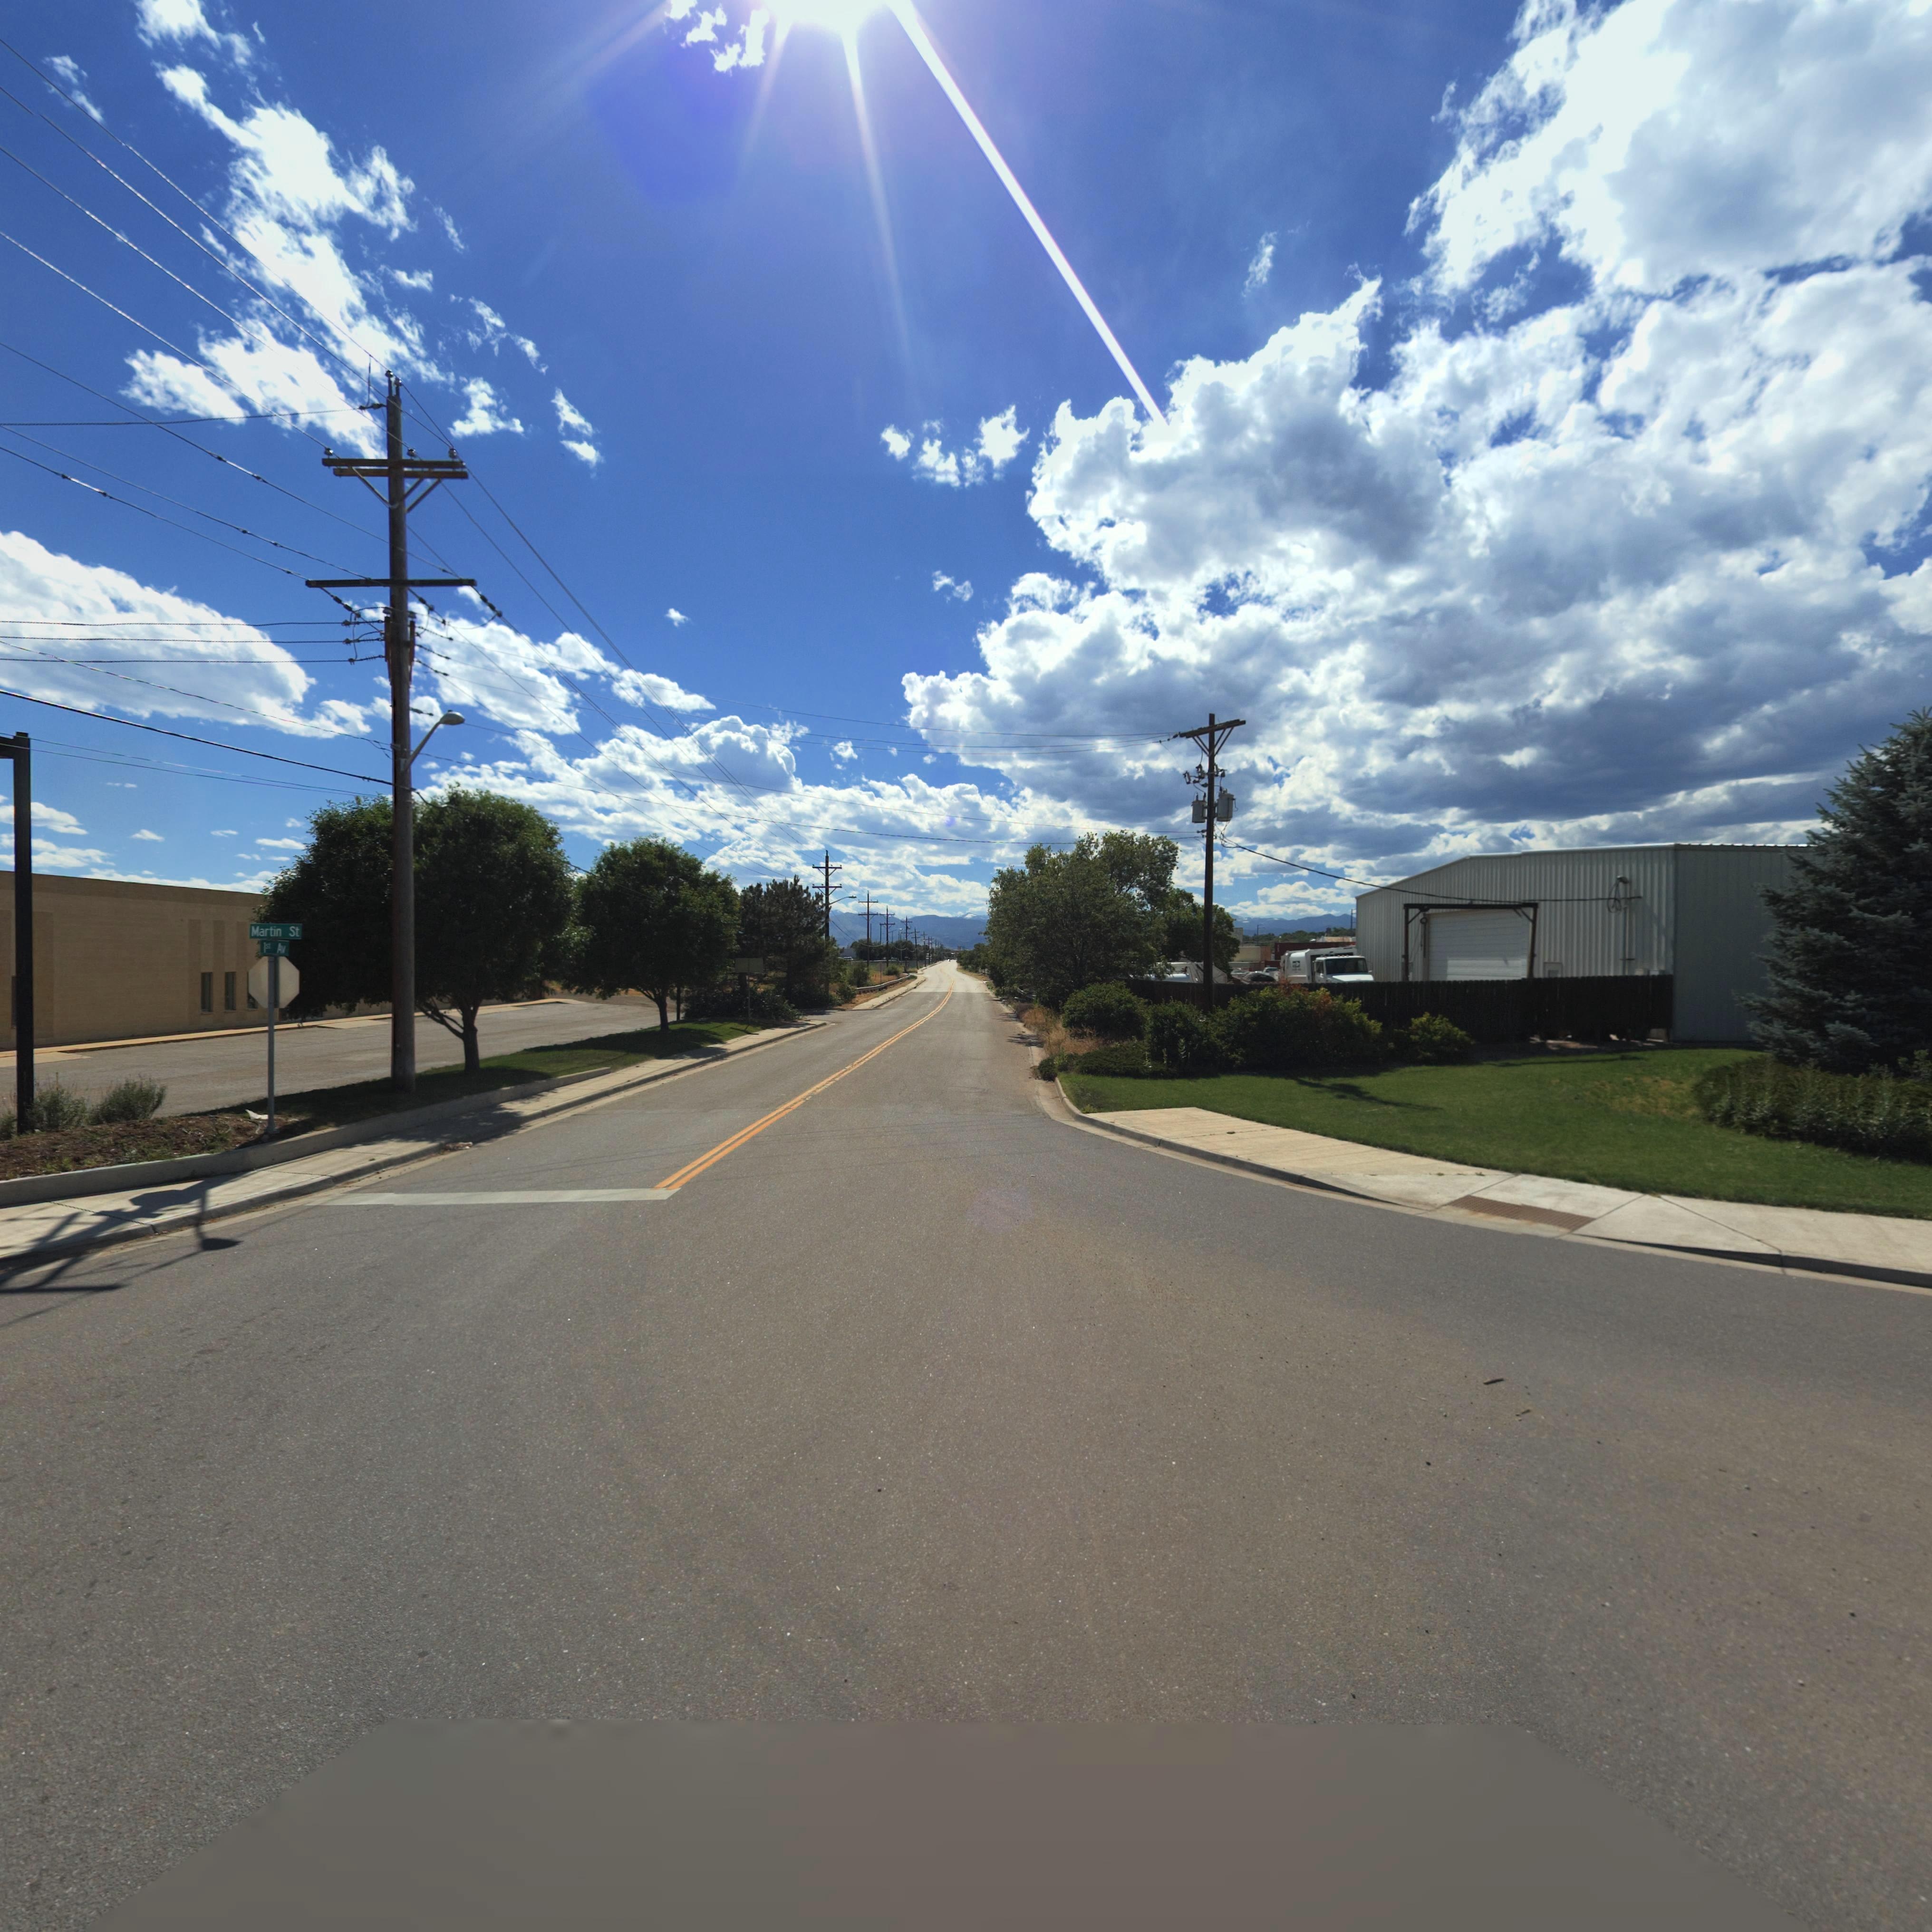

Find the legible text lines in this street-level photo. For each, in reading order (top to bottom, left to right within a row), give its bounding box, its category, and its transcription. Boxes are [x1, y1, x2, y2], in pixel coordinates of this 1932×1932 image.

[251, 926, 299, 937] StreetName: Martin St
[263, 942, 286, 954] StreetName: 1st Av